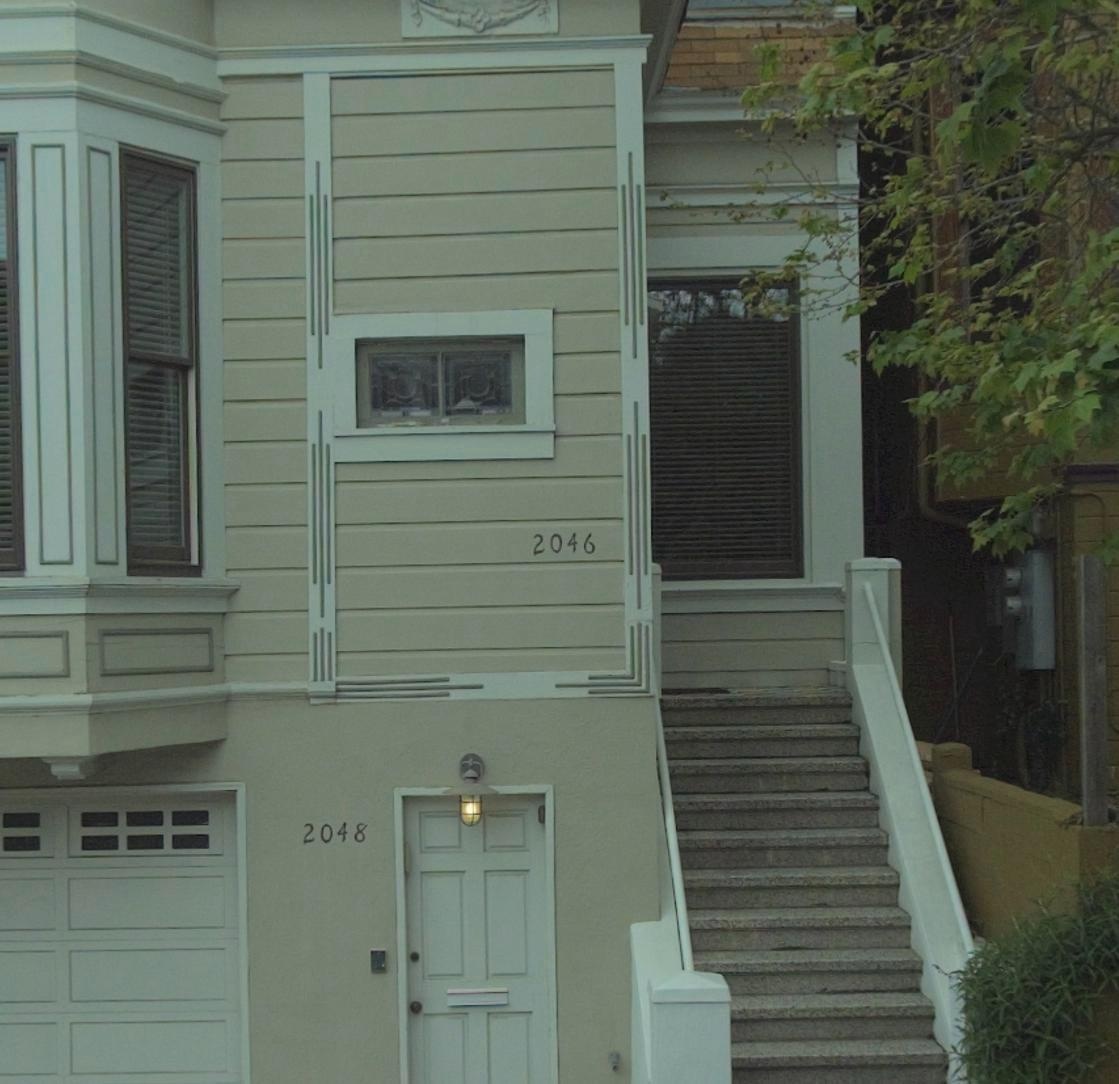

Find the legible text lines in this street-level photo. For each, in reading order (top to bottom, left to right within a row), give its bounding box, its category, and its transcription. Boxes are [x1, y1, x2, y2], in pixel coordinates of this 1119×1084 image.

[530, 530, 596, 556] StreetNumber: 2046
[302, 822, 368, 844] StreetNumber: 2048